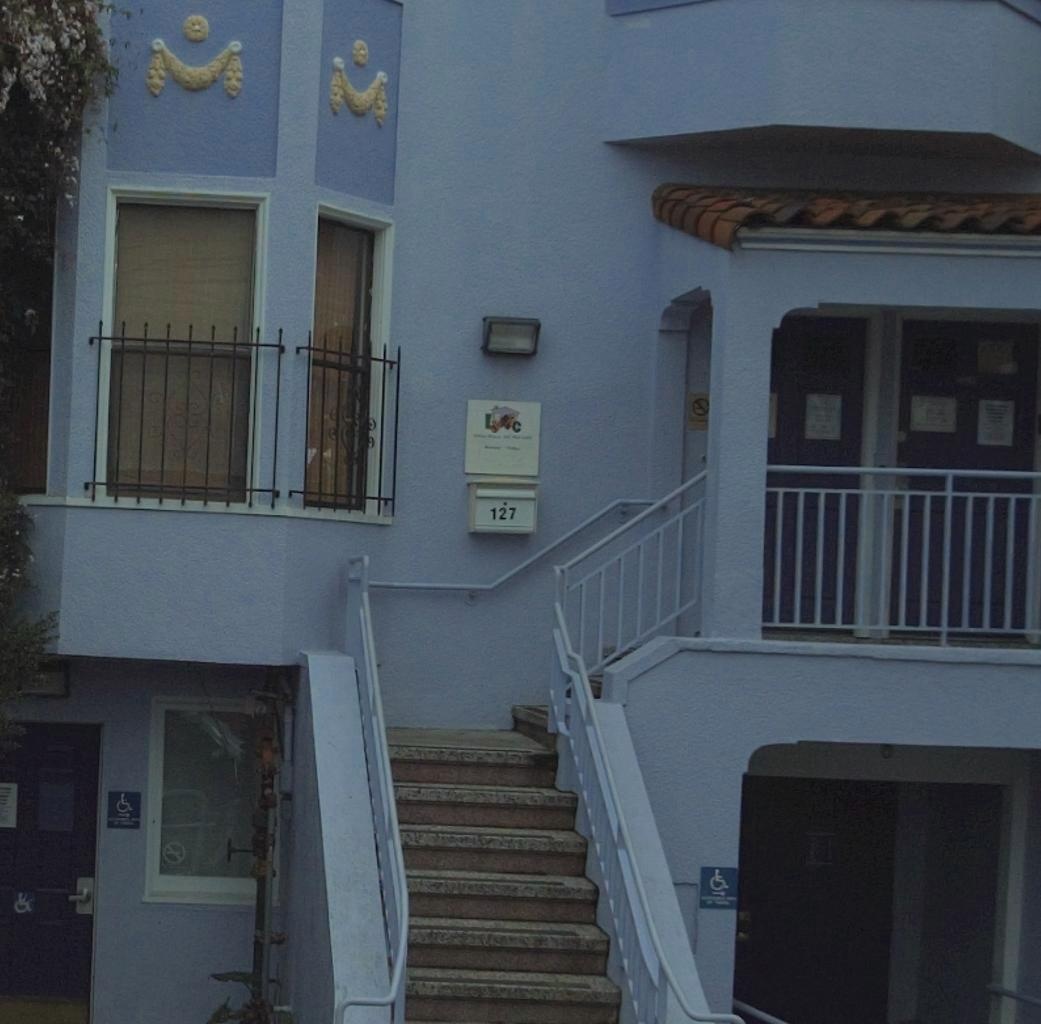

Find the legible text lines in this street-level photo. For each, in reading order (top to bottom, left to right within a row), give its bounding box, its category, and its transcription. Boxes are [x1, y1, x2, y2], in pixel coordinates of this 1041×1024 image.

[484, 413, 497, 431] None: L
[512, 420, 522, 434] None: c
[489, 506, 518, 521] StreetNumber: 127